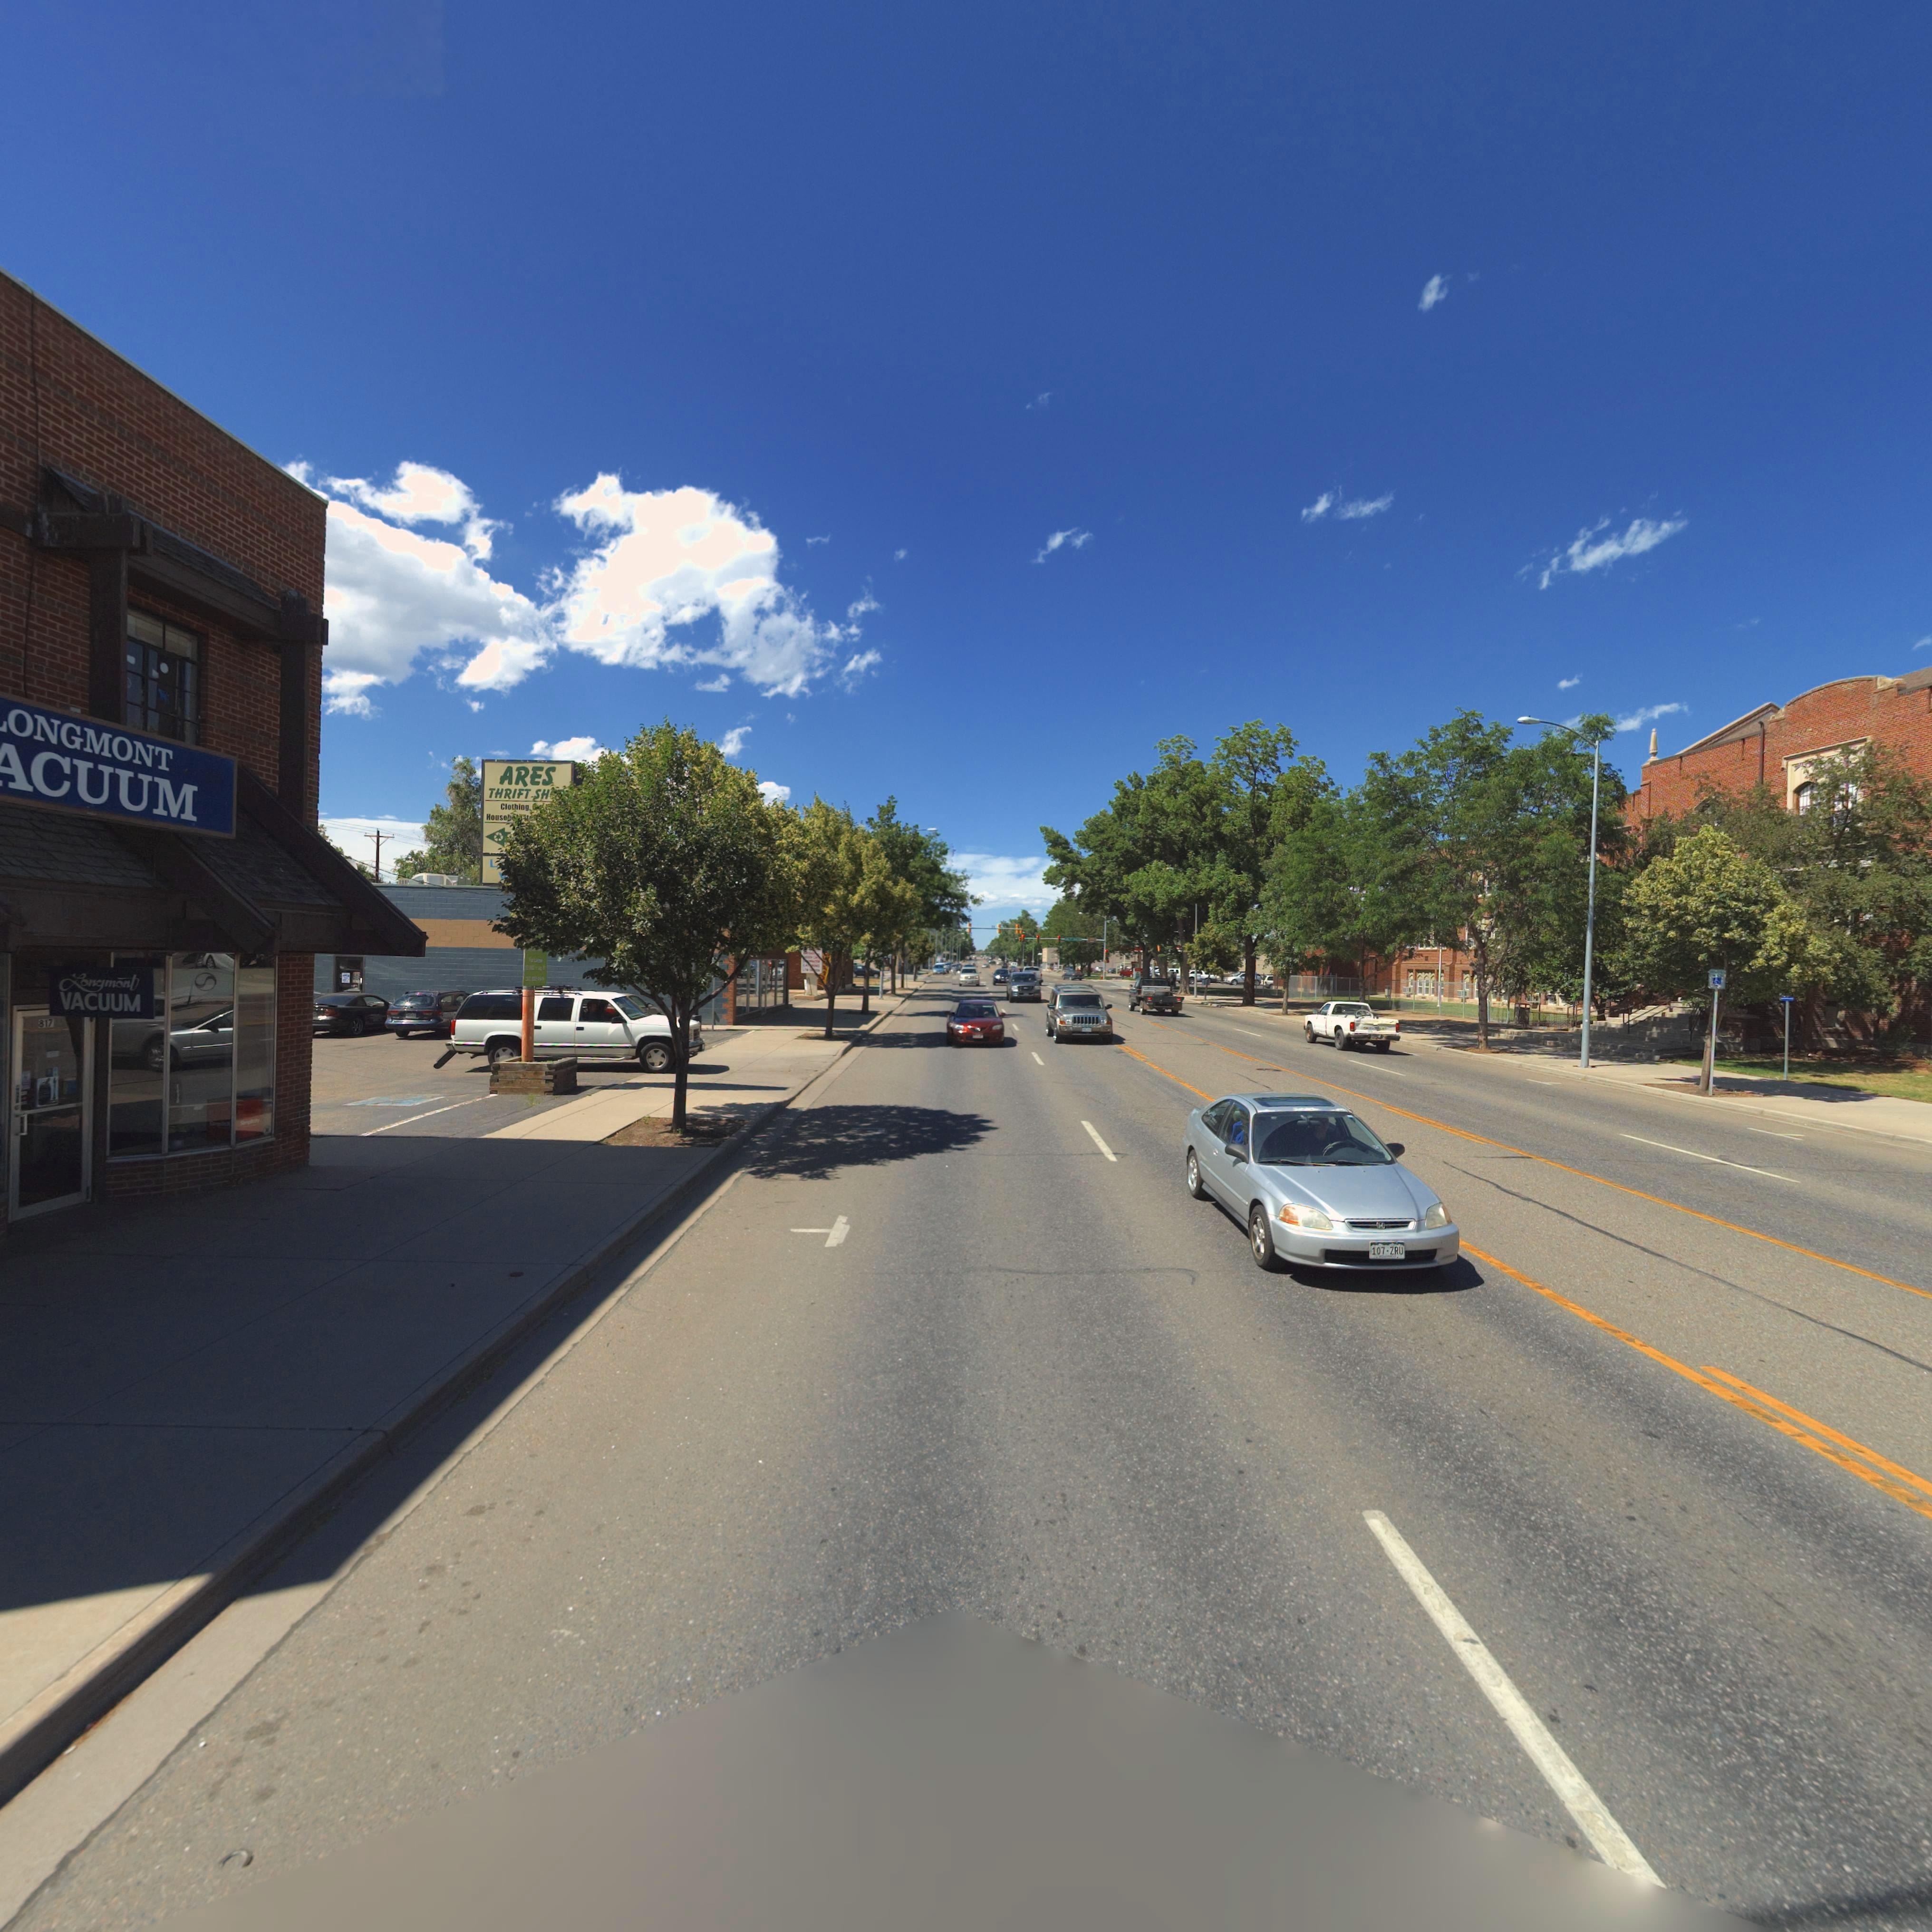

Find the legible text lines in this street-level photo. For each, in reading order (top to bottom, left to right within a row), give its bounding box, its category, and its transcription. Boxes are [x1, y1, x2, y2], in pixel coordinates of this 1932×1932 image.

[6, 708, 174, 773] BusinessName: ONGMONT
[498, 765, 557, 788] BusinessName: ARES
[29, 750, 199, 823] BusinessName: CUUM
[488, 787, 550, 800] BusinessName: THRIFT SH
[489, 858, 498, 868] BusinessName: L
[802, 967, 820, 972] BusinessName: LT* *****N
[58, 973, 139, 993] BusinessName: Longmont
[59, 991, 141, 1012] BusinessName: VACUUM
[38, 1018, 53, 1028] StreetNumber: 817